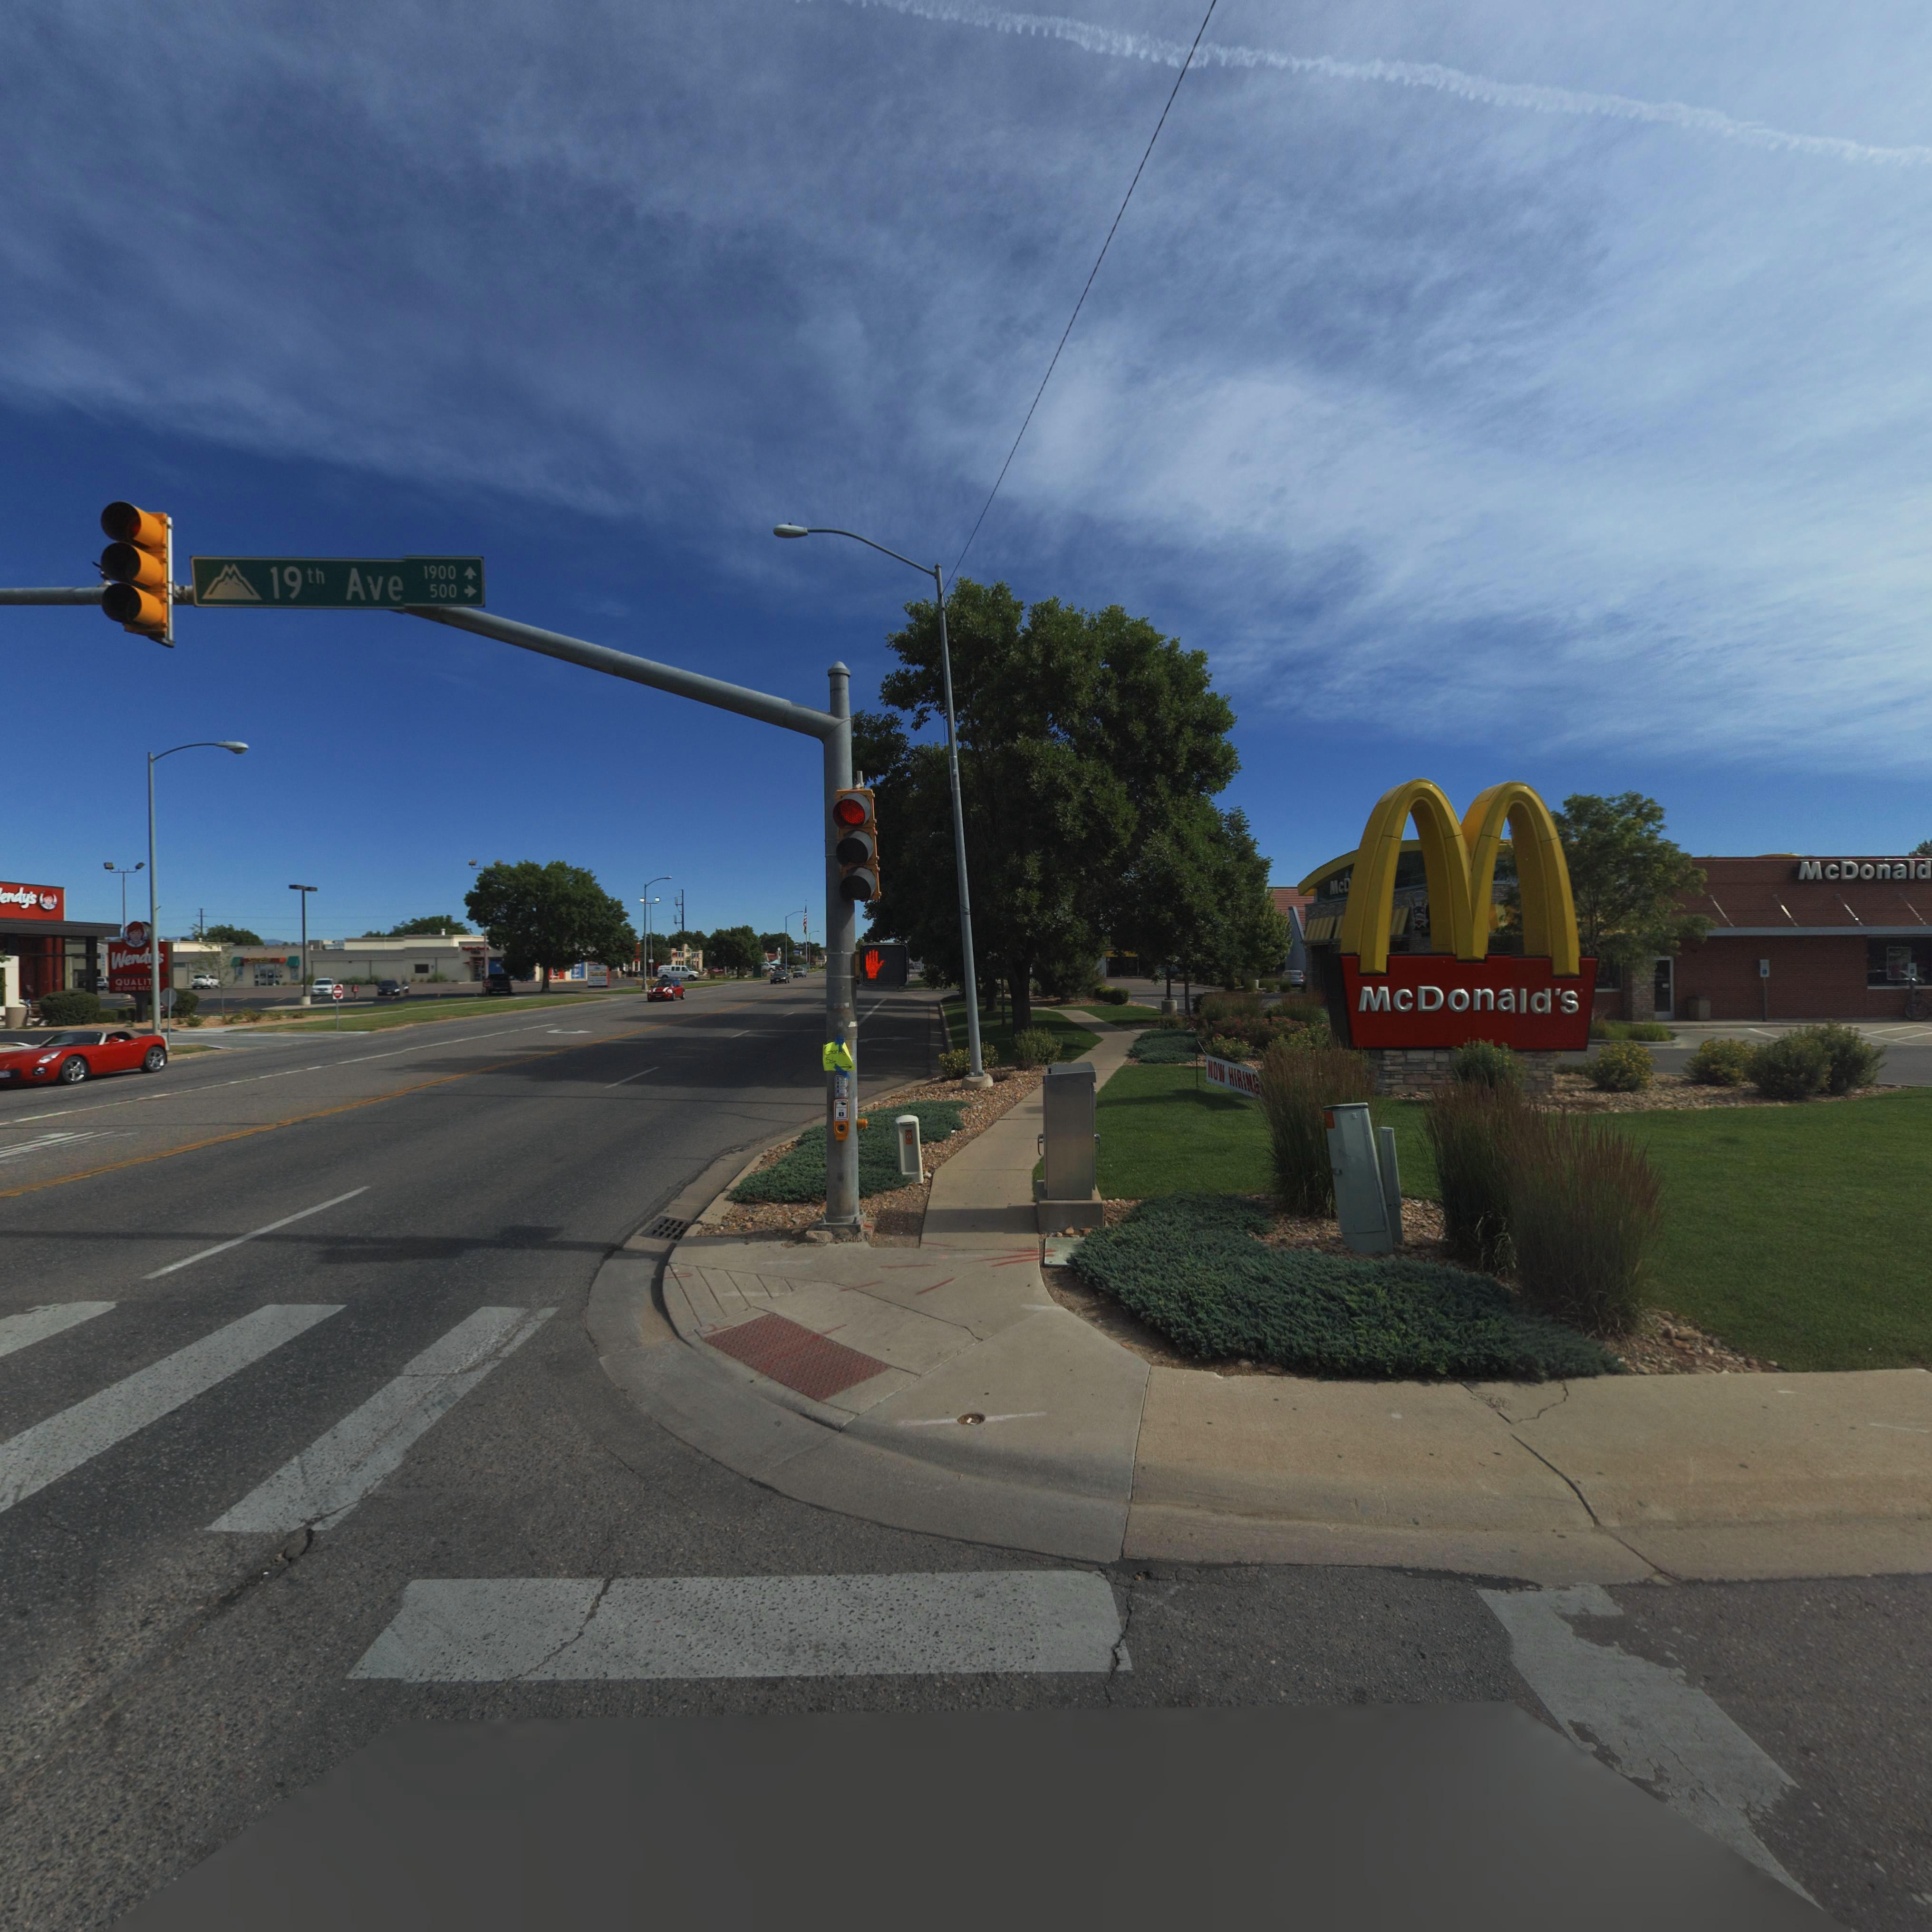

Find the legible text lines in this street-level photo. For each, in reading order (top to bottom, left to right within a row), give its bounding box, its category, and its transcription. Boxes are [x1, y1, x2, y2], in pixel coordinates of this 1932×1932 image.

[268, 563, 408, 601] StreetName: 19th Ave
[423, 563, 458, 581] StreetNumberRange: 1900
[427, 582, 478, 599] StreetNumberRange: 500 ->
[1797, 860, 1931, 880] BusinessName: McDonald
[1328, 876, 1352, 896] BusinessName: McD
[0, 886, 37, 909] BusinessName: endy's
[111, 947, 165, 970] BusinessName: Wendy's
[1356, 984, 1581, 1015] BusinessName: McDonald's